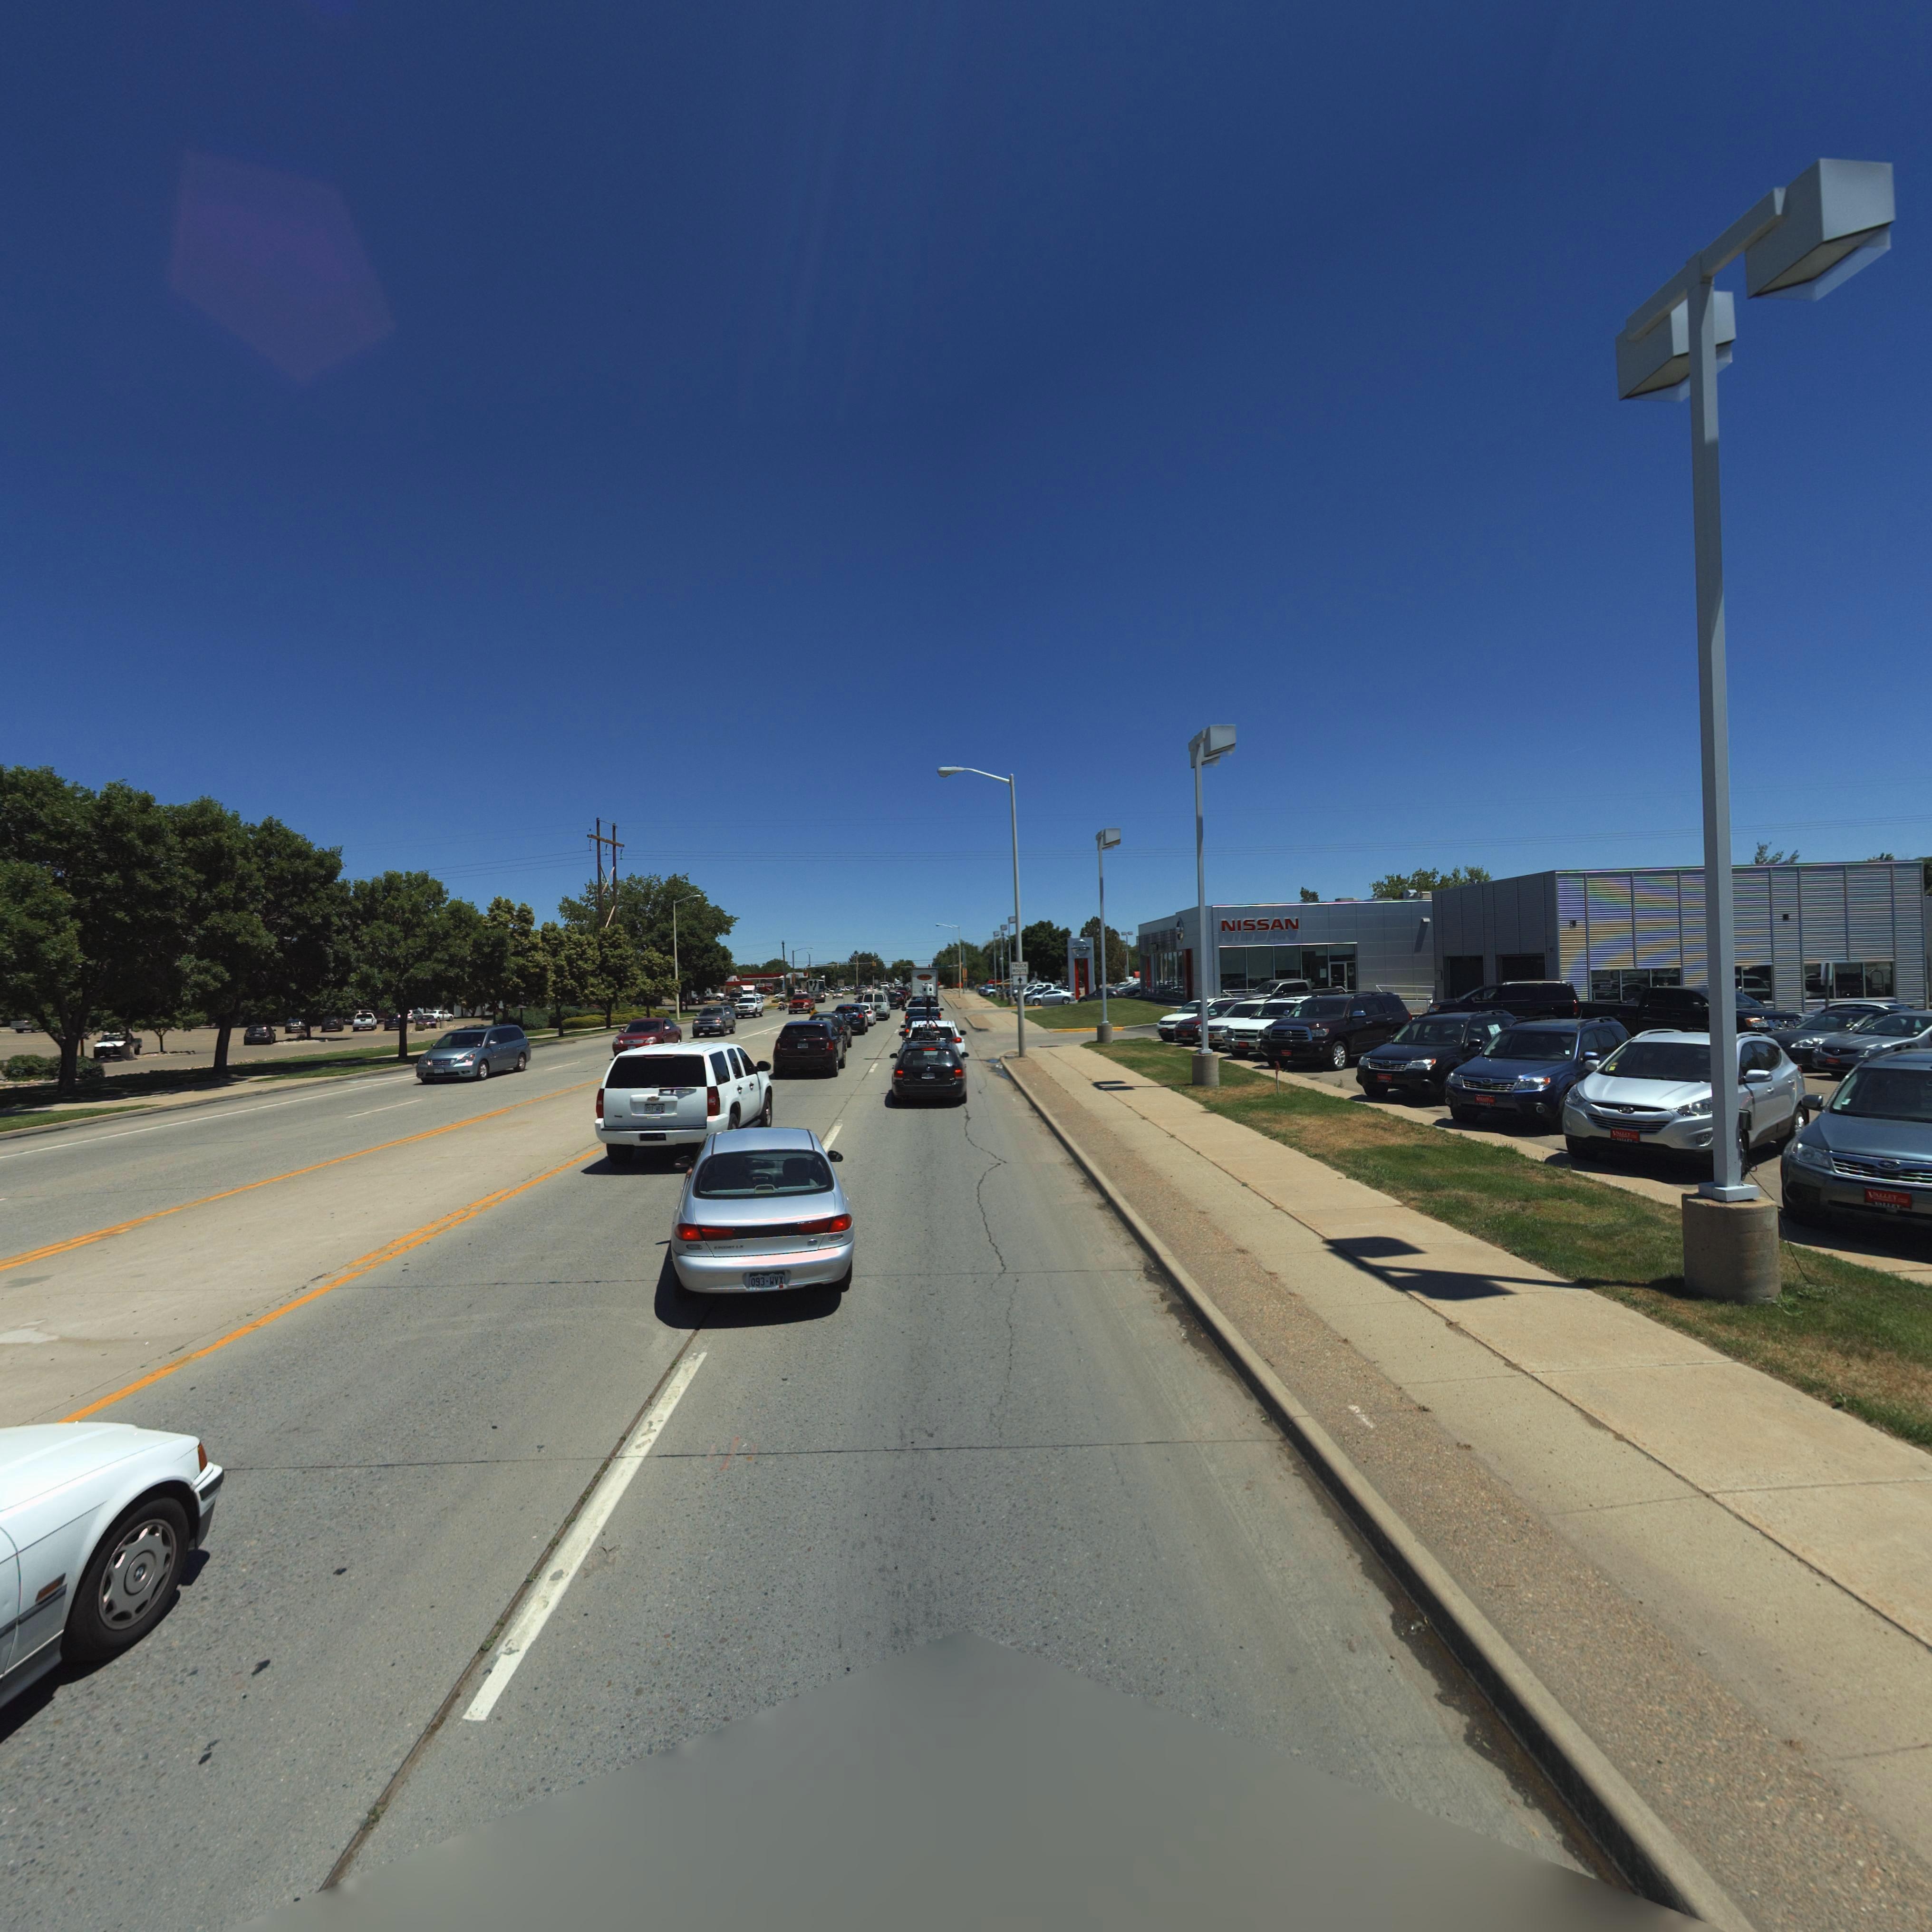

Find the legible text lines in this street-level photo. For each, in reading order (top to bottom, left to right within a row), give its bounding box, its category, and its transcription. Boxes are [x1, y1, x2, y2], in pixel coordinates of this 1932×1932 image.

[1221, 918, 1299, 932] BusinessName: NISSAN